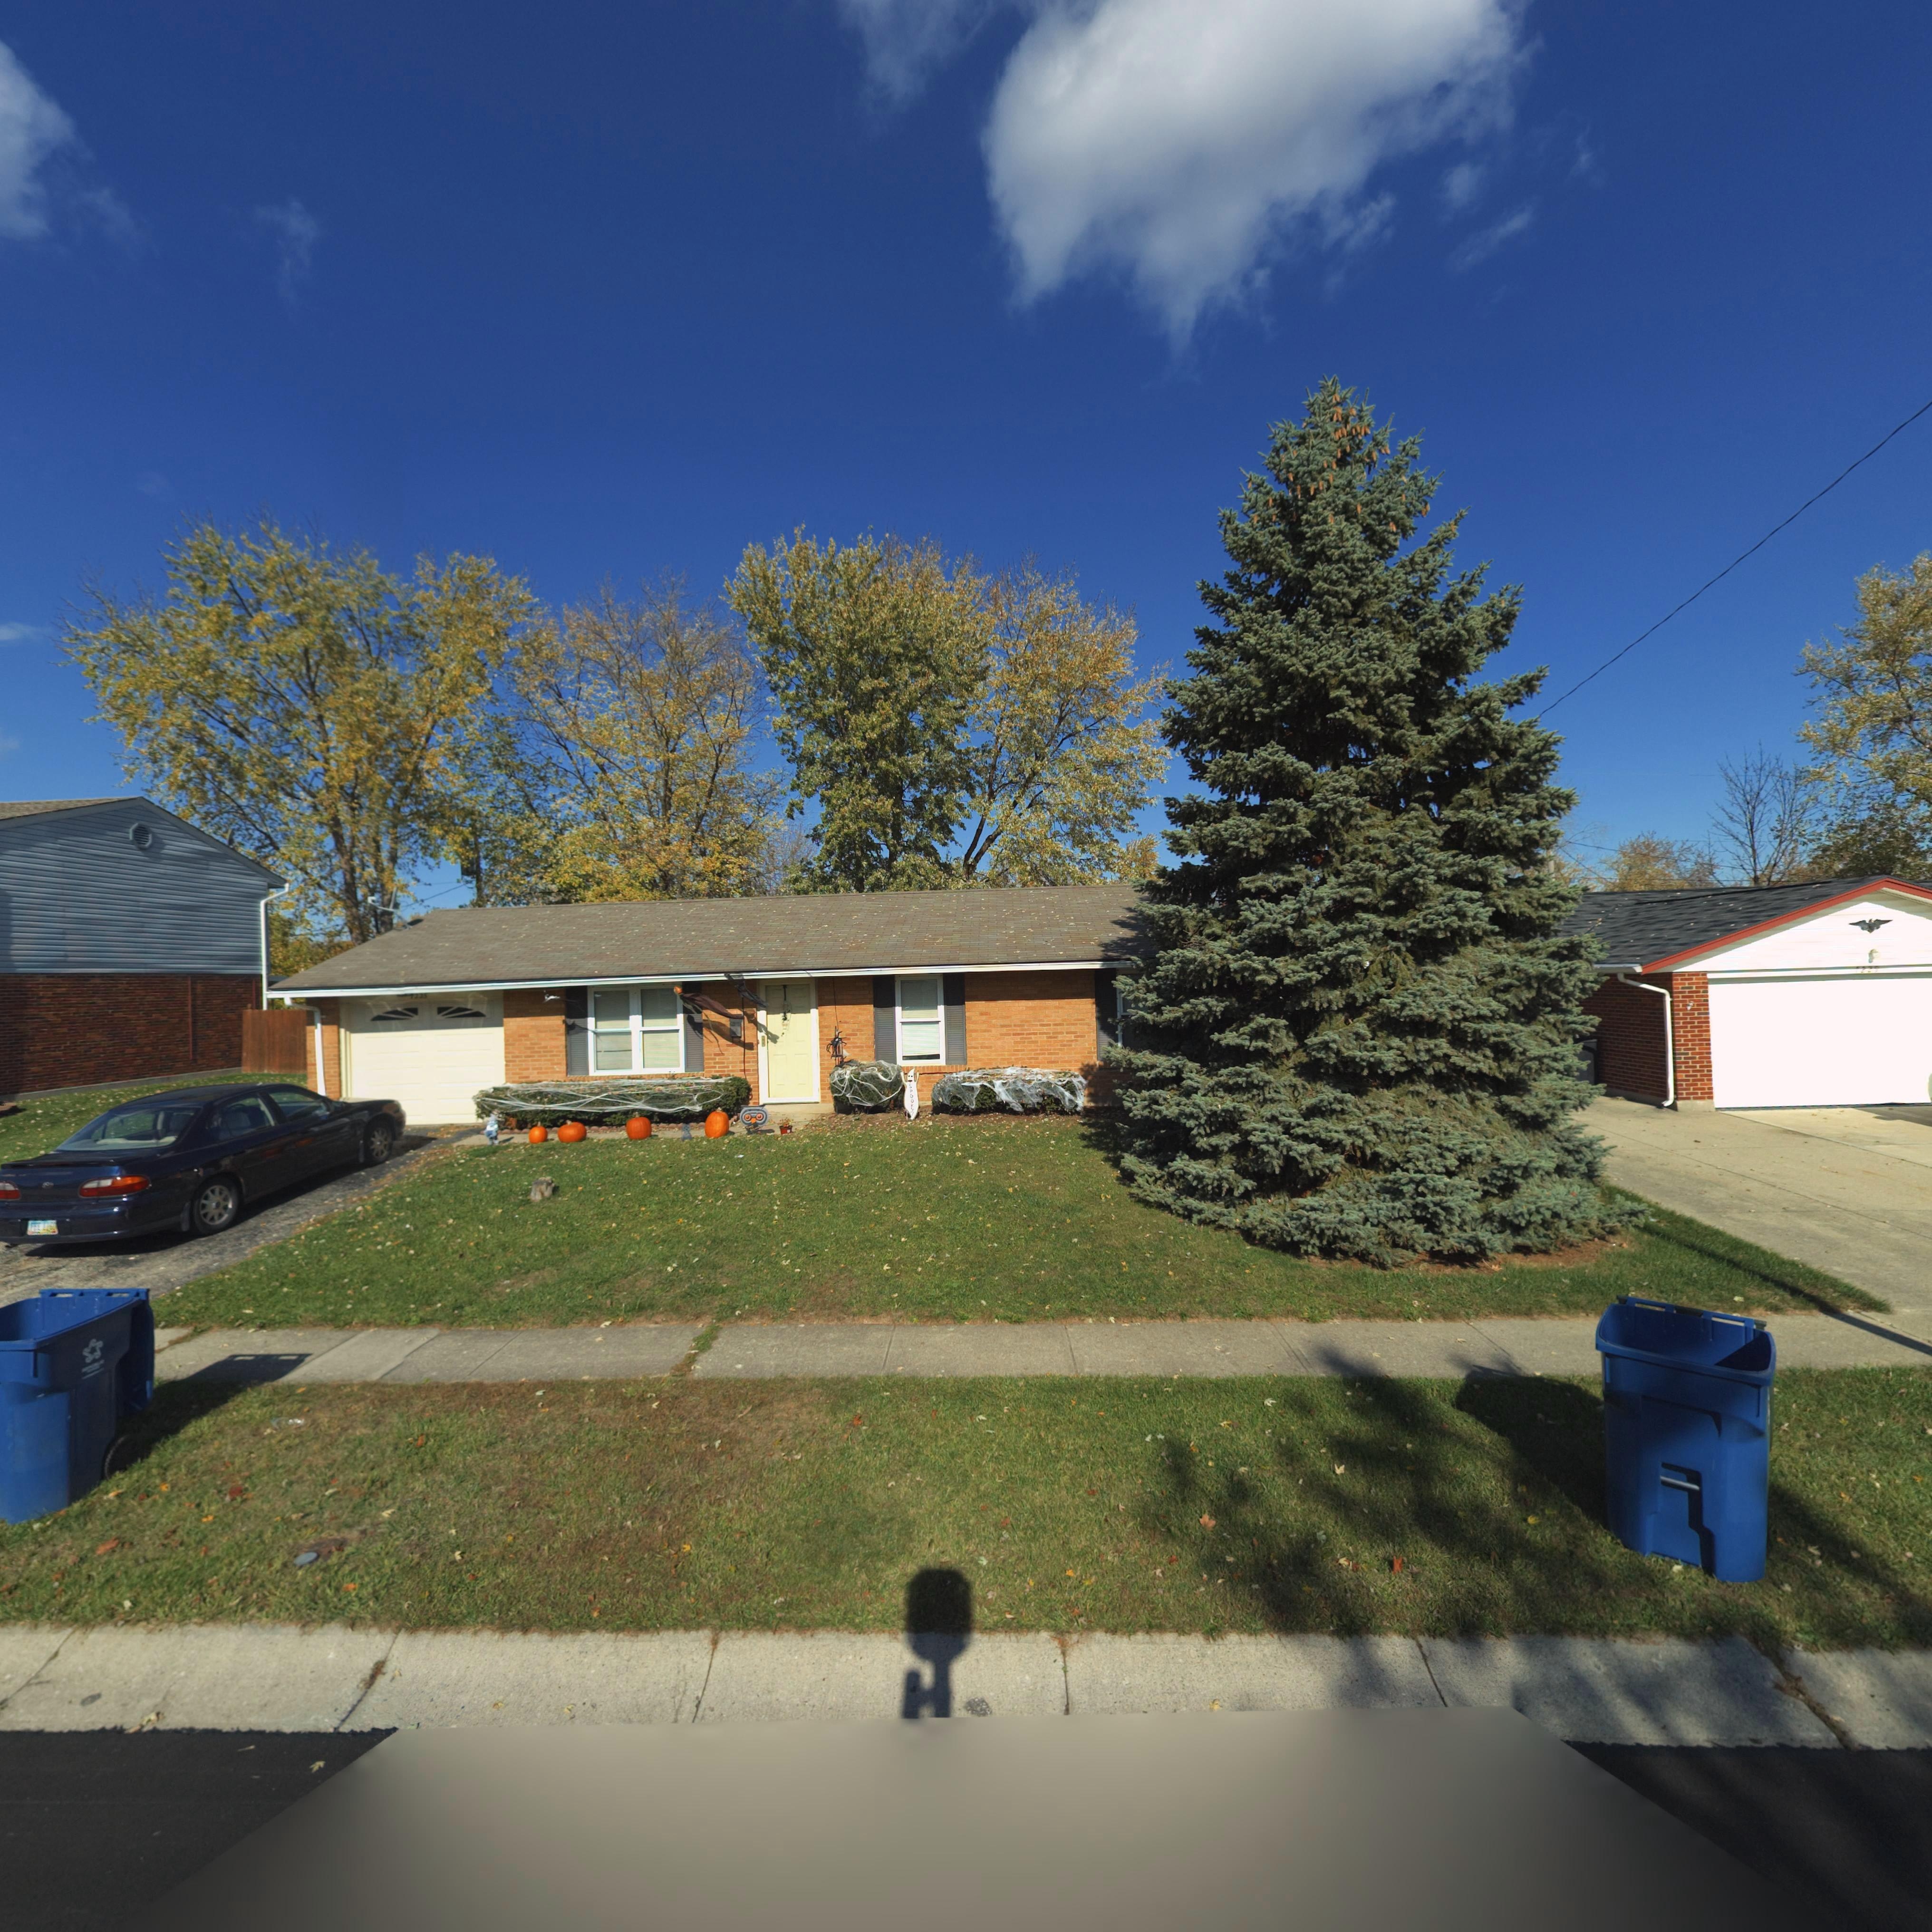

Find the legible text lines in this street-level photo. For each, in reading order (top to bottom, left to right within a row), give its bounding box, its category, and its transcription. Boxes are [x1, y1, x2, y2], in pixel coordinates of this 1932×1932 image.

[1854, 965, 1881, 975] StreetNumber: *229